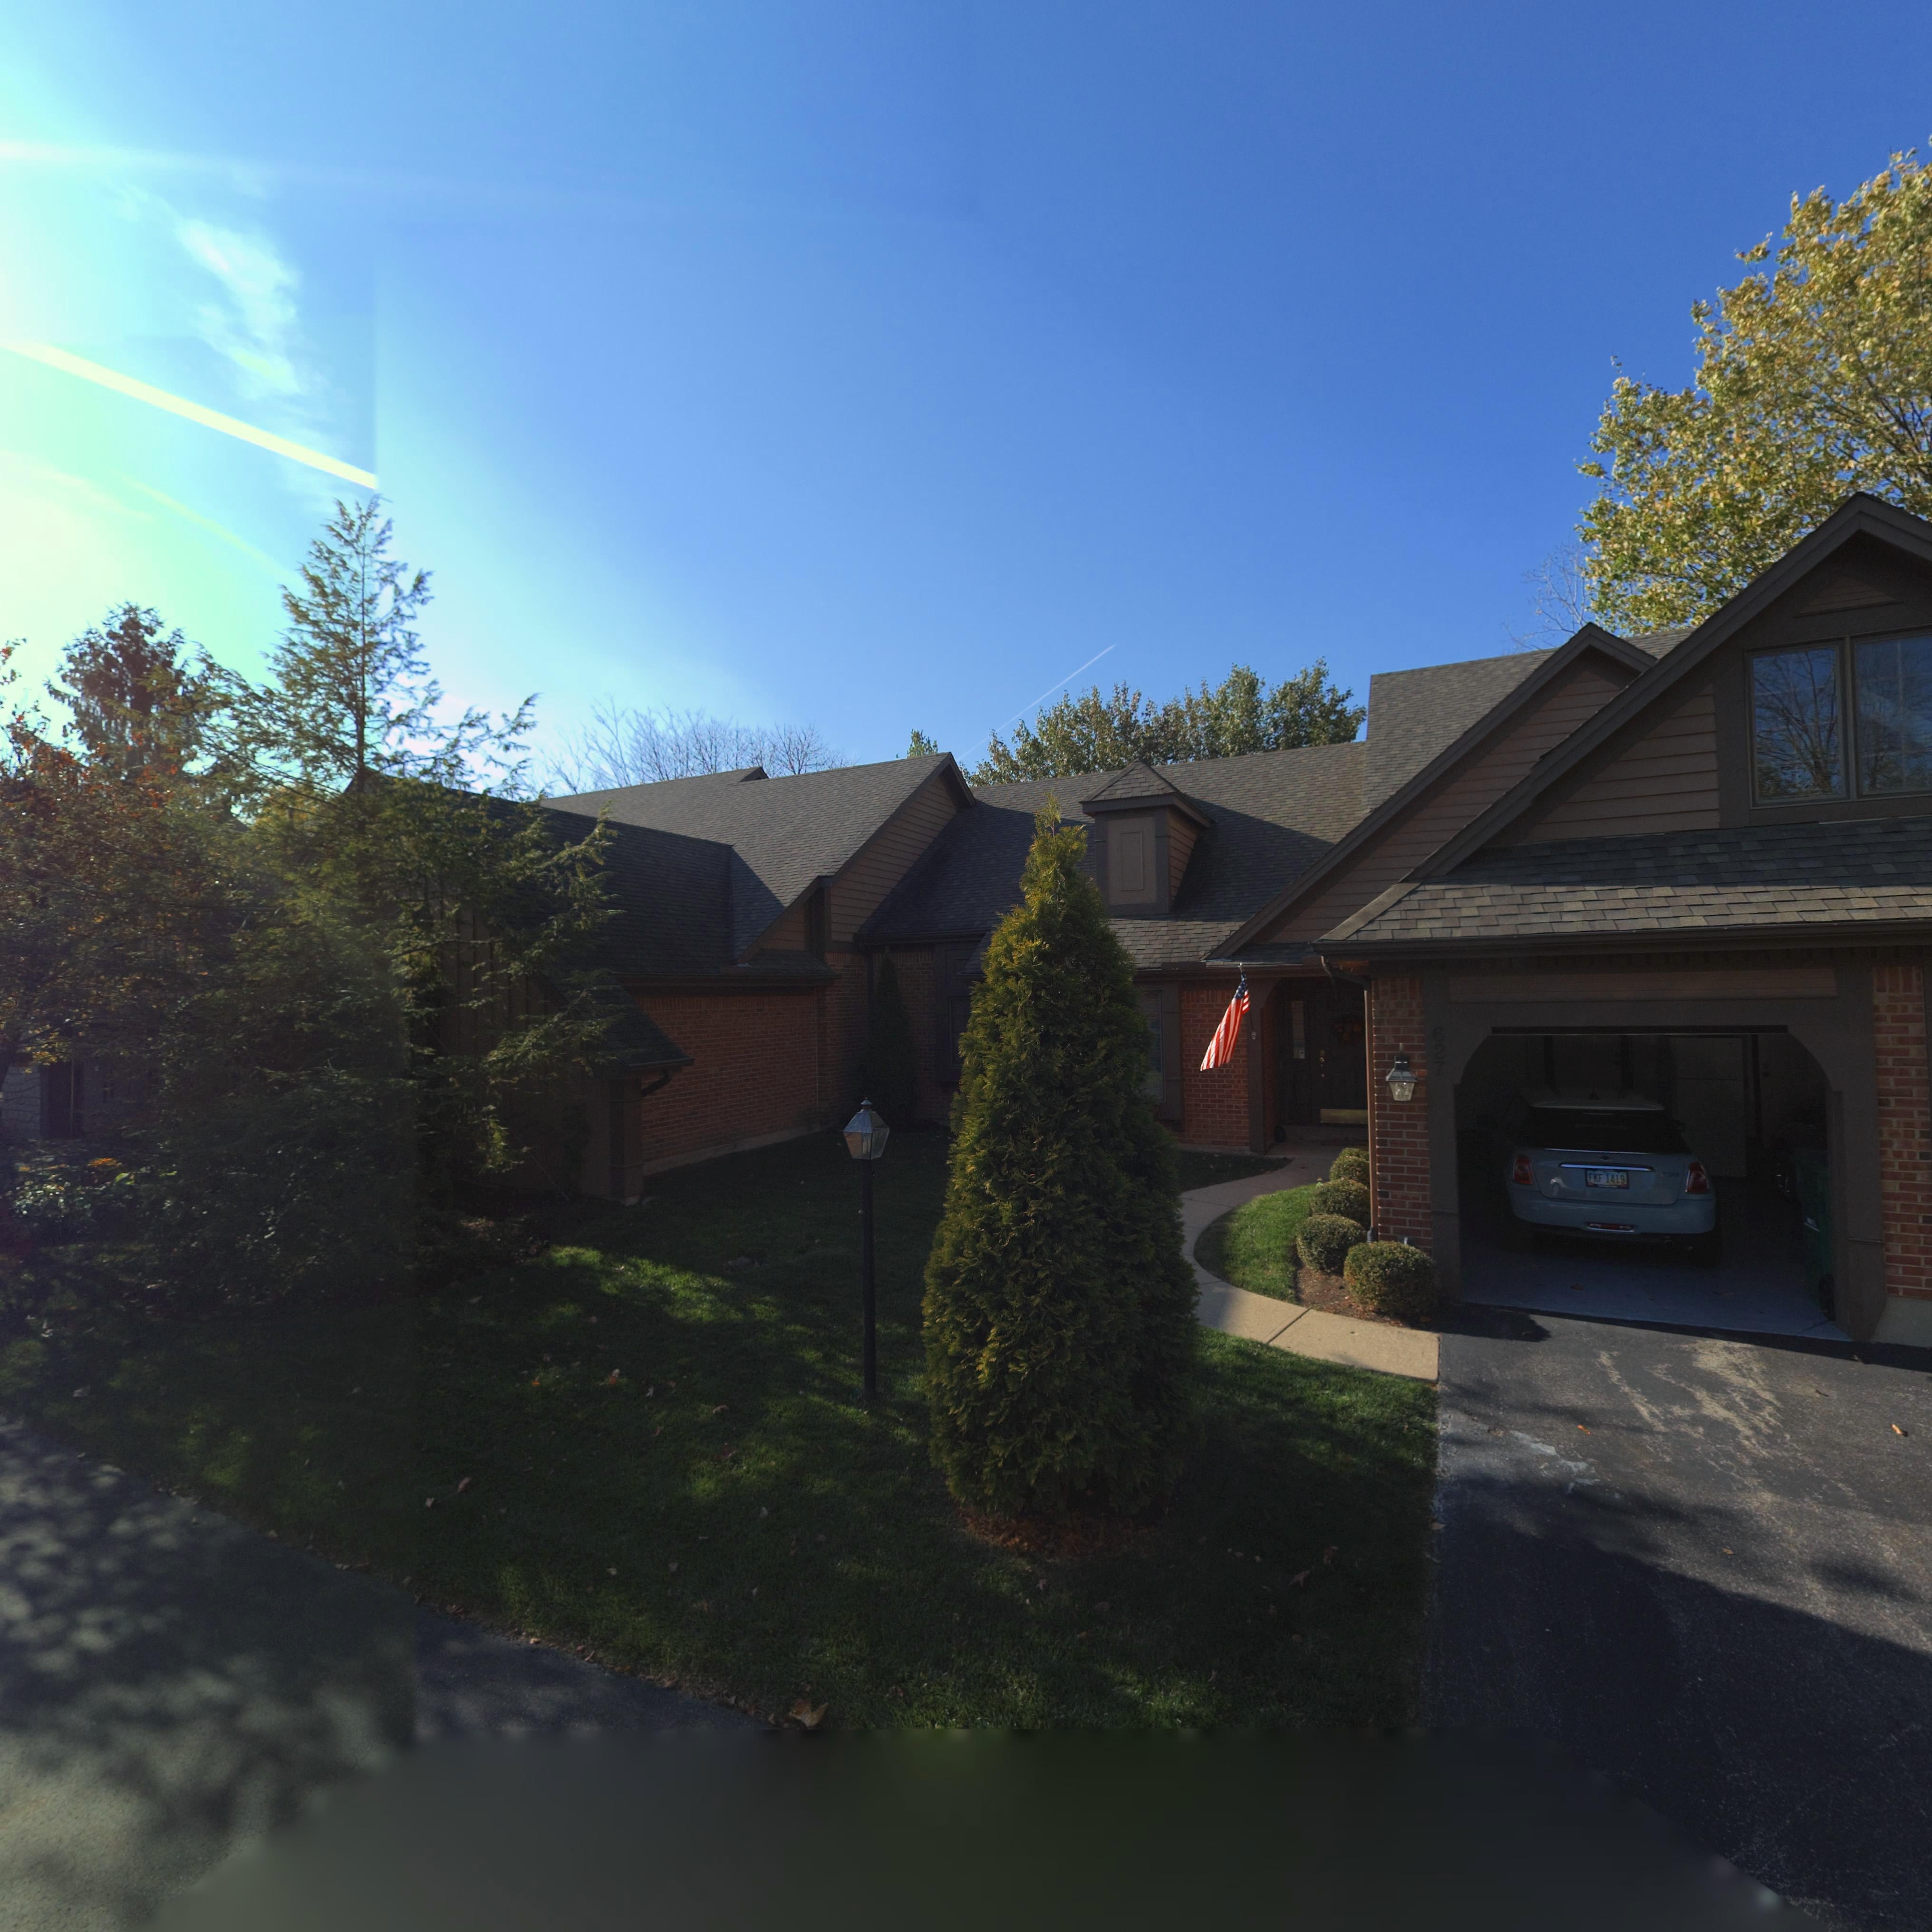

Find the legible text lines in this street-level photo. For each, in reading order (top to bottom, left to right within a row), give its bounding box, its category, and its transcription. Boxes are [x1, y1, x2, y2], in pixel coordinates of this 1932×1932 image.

[1431, 1025, 1447, 1076] StreetNumber: 627